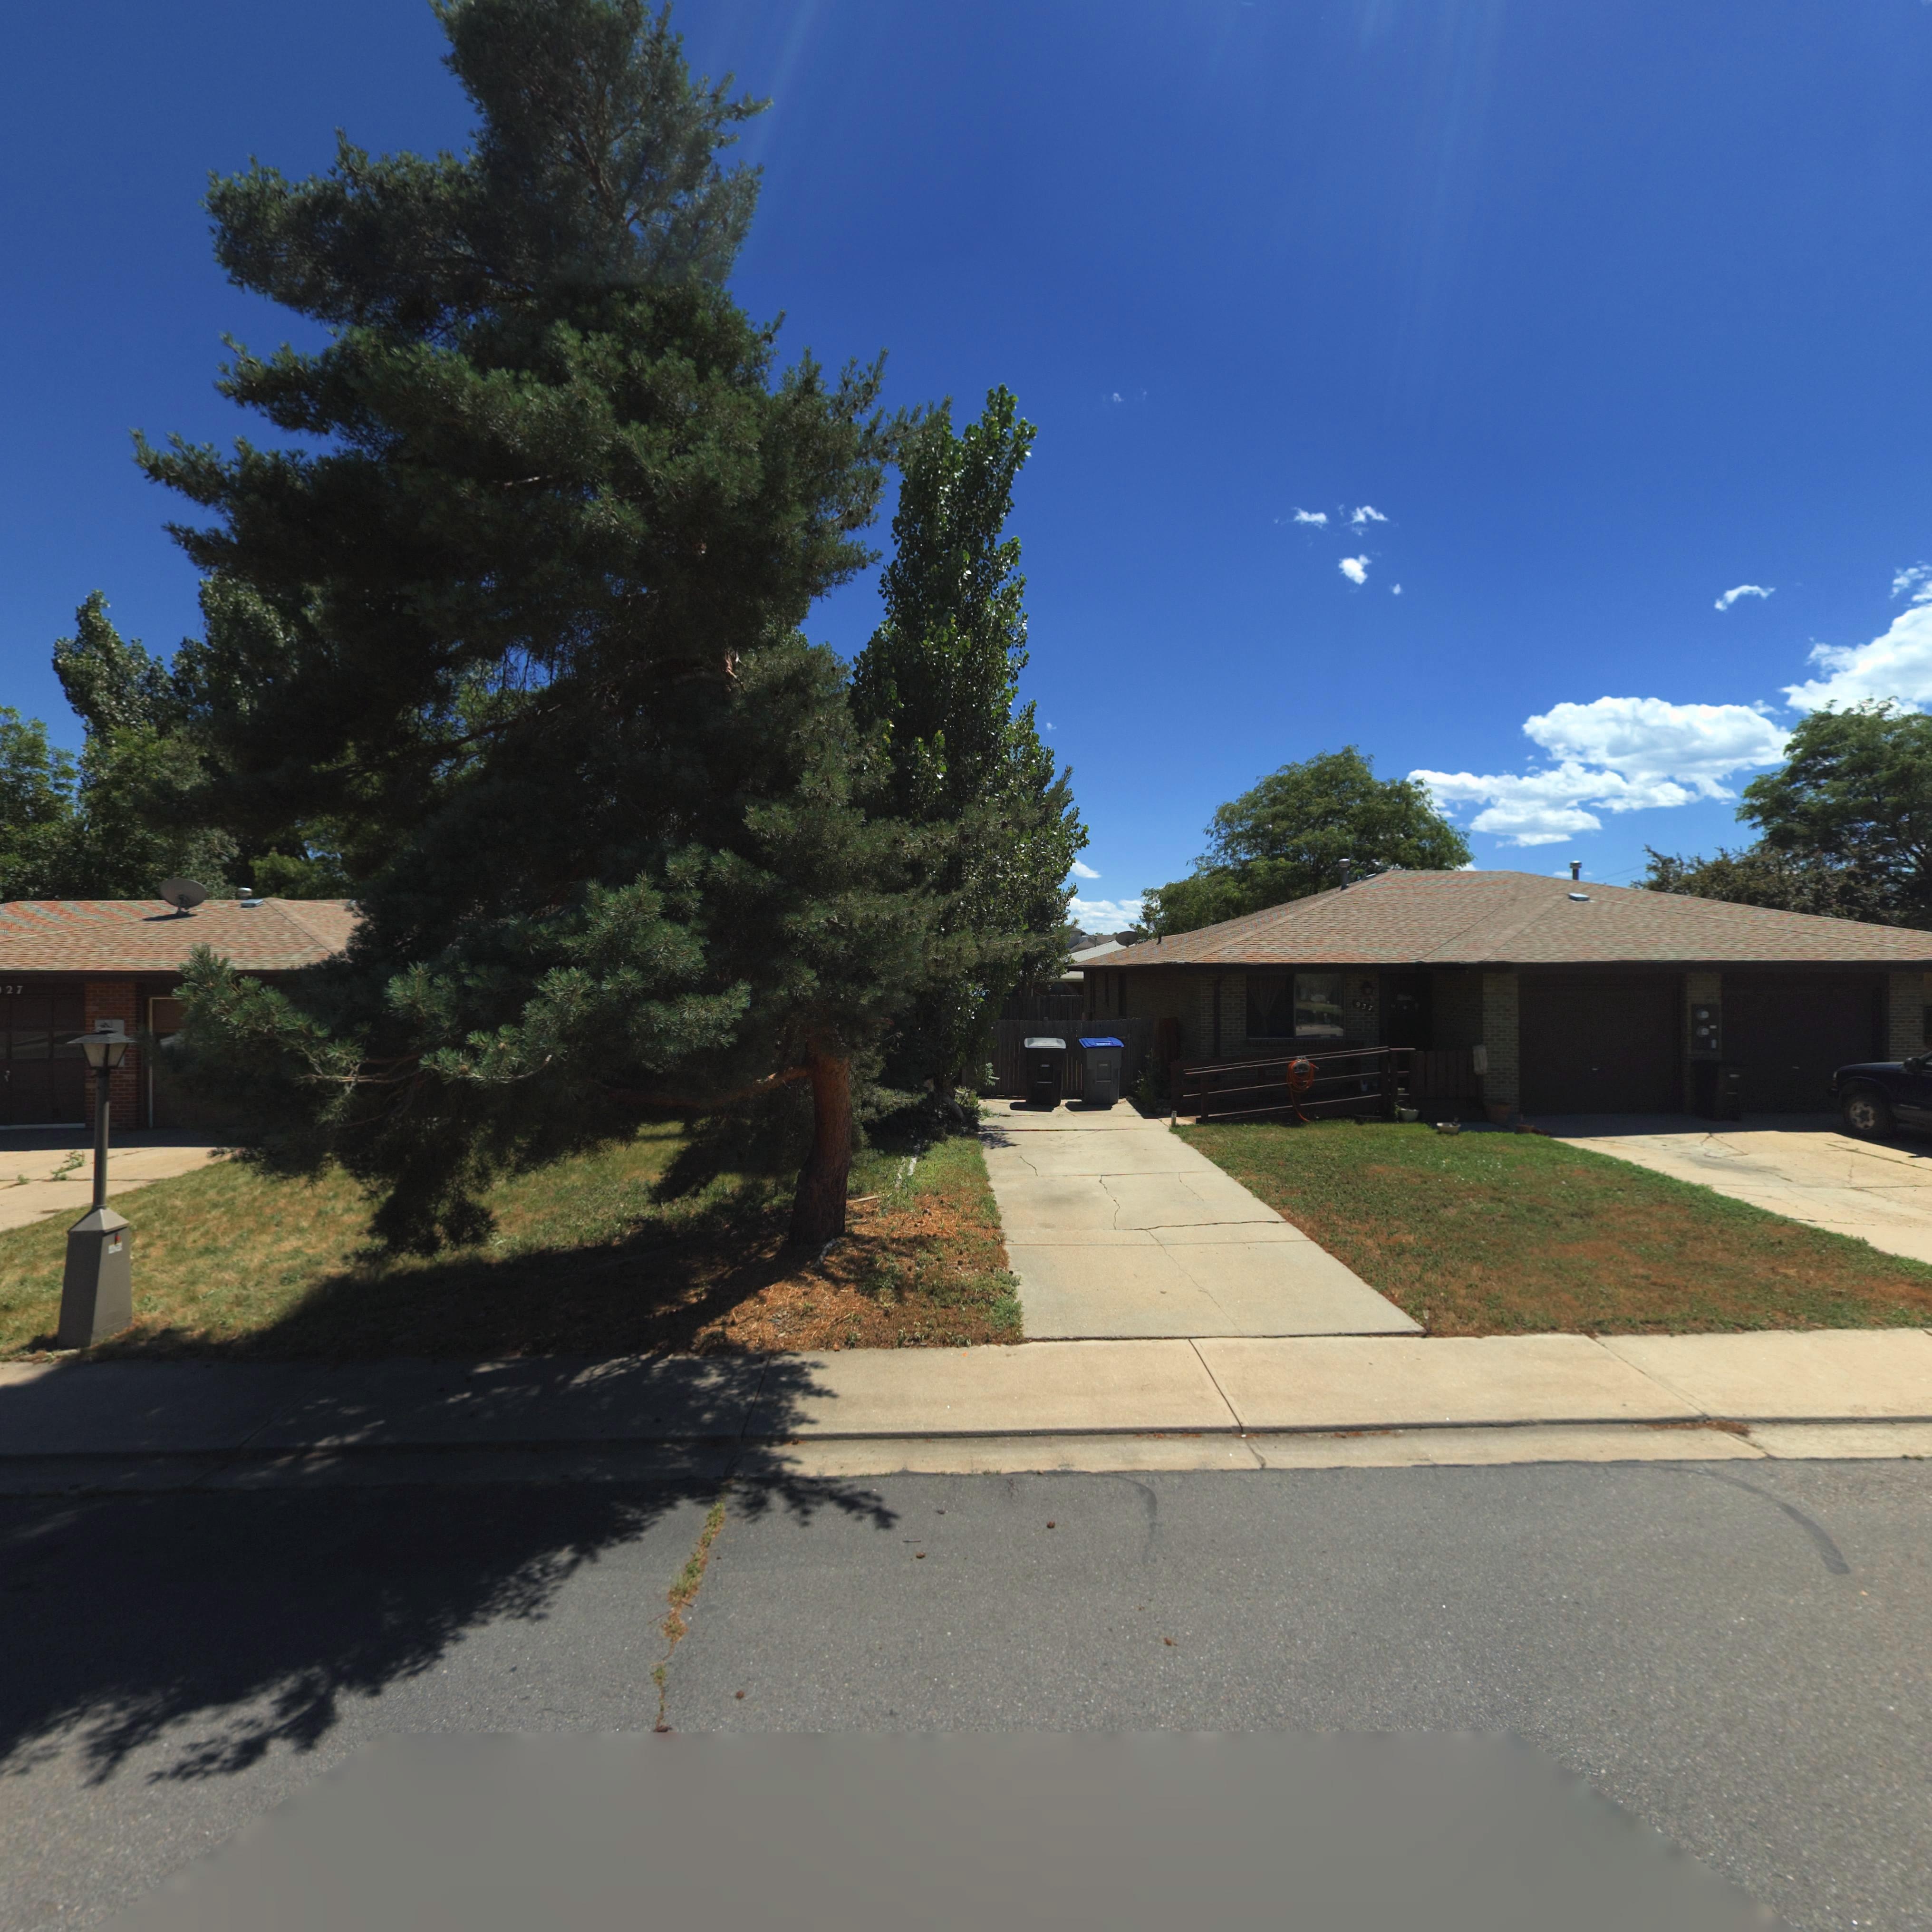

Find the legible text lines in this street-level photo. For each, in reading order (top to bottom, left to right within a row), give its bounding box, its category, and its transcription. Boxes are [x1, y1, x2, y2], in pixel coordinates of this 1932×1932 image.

[5, 985, 23, 994] StreetNumber: 27
[1355, 1001, 1373, 1011] StreetNumber: 937